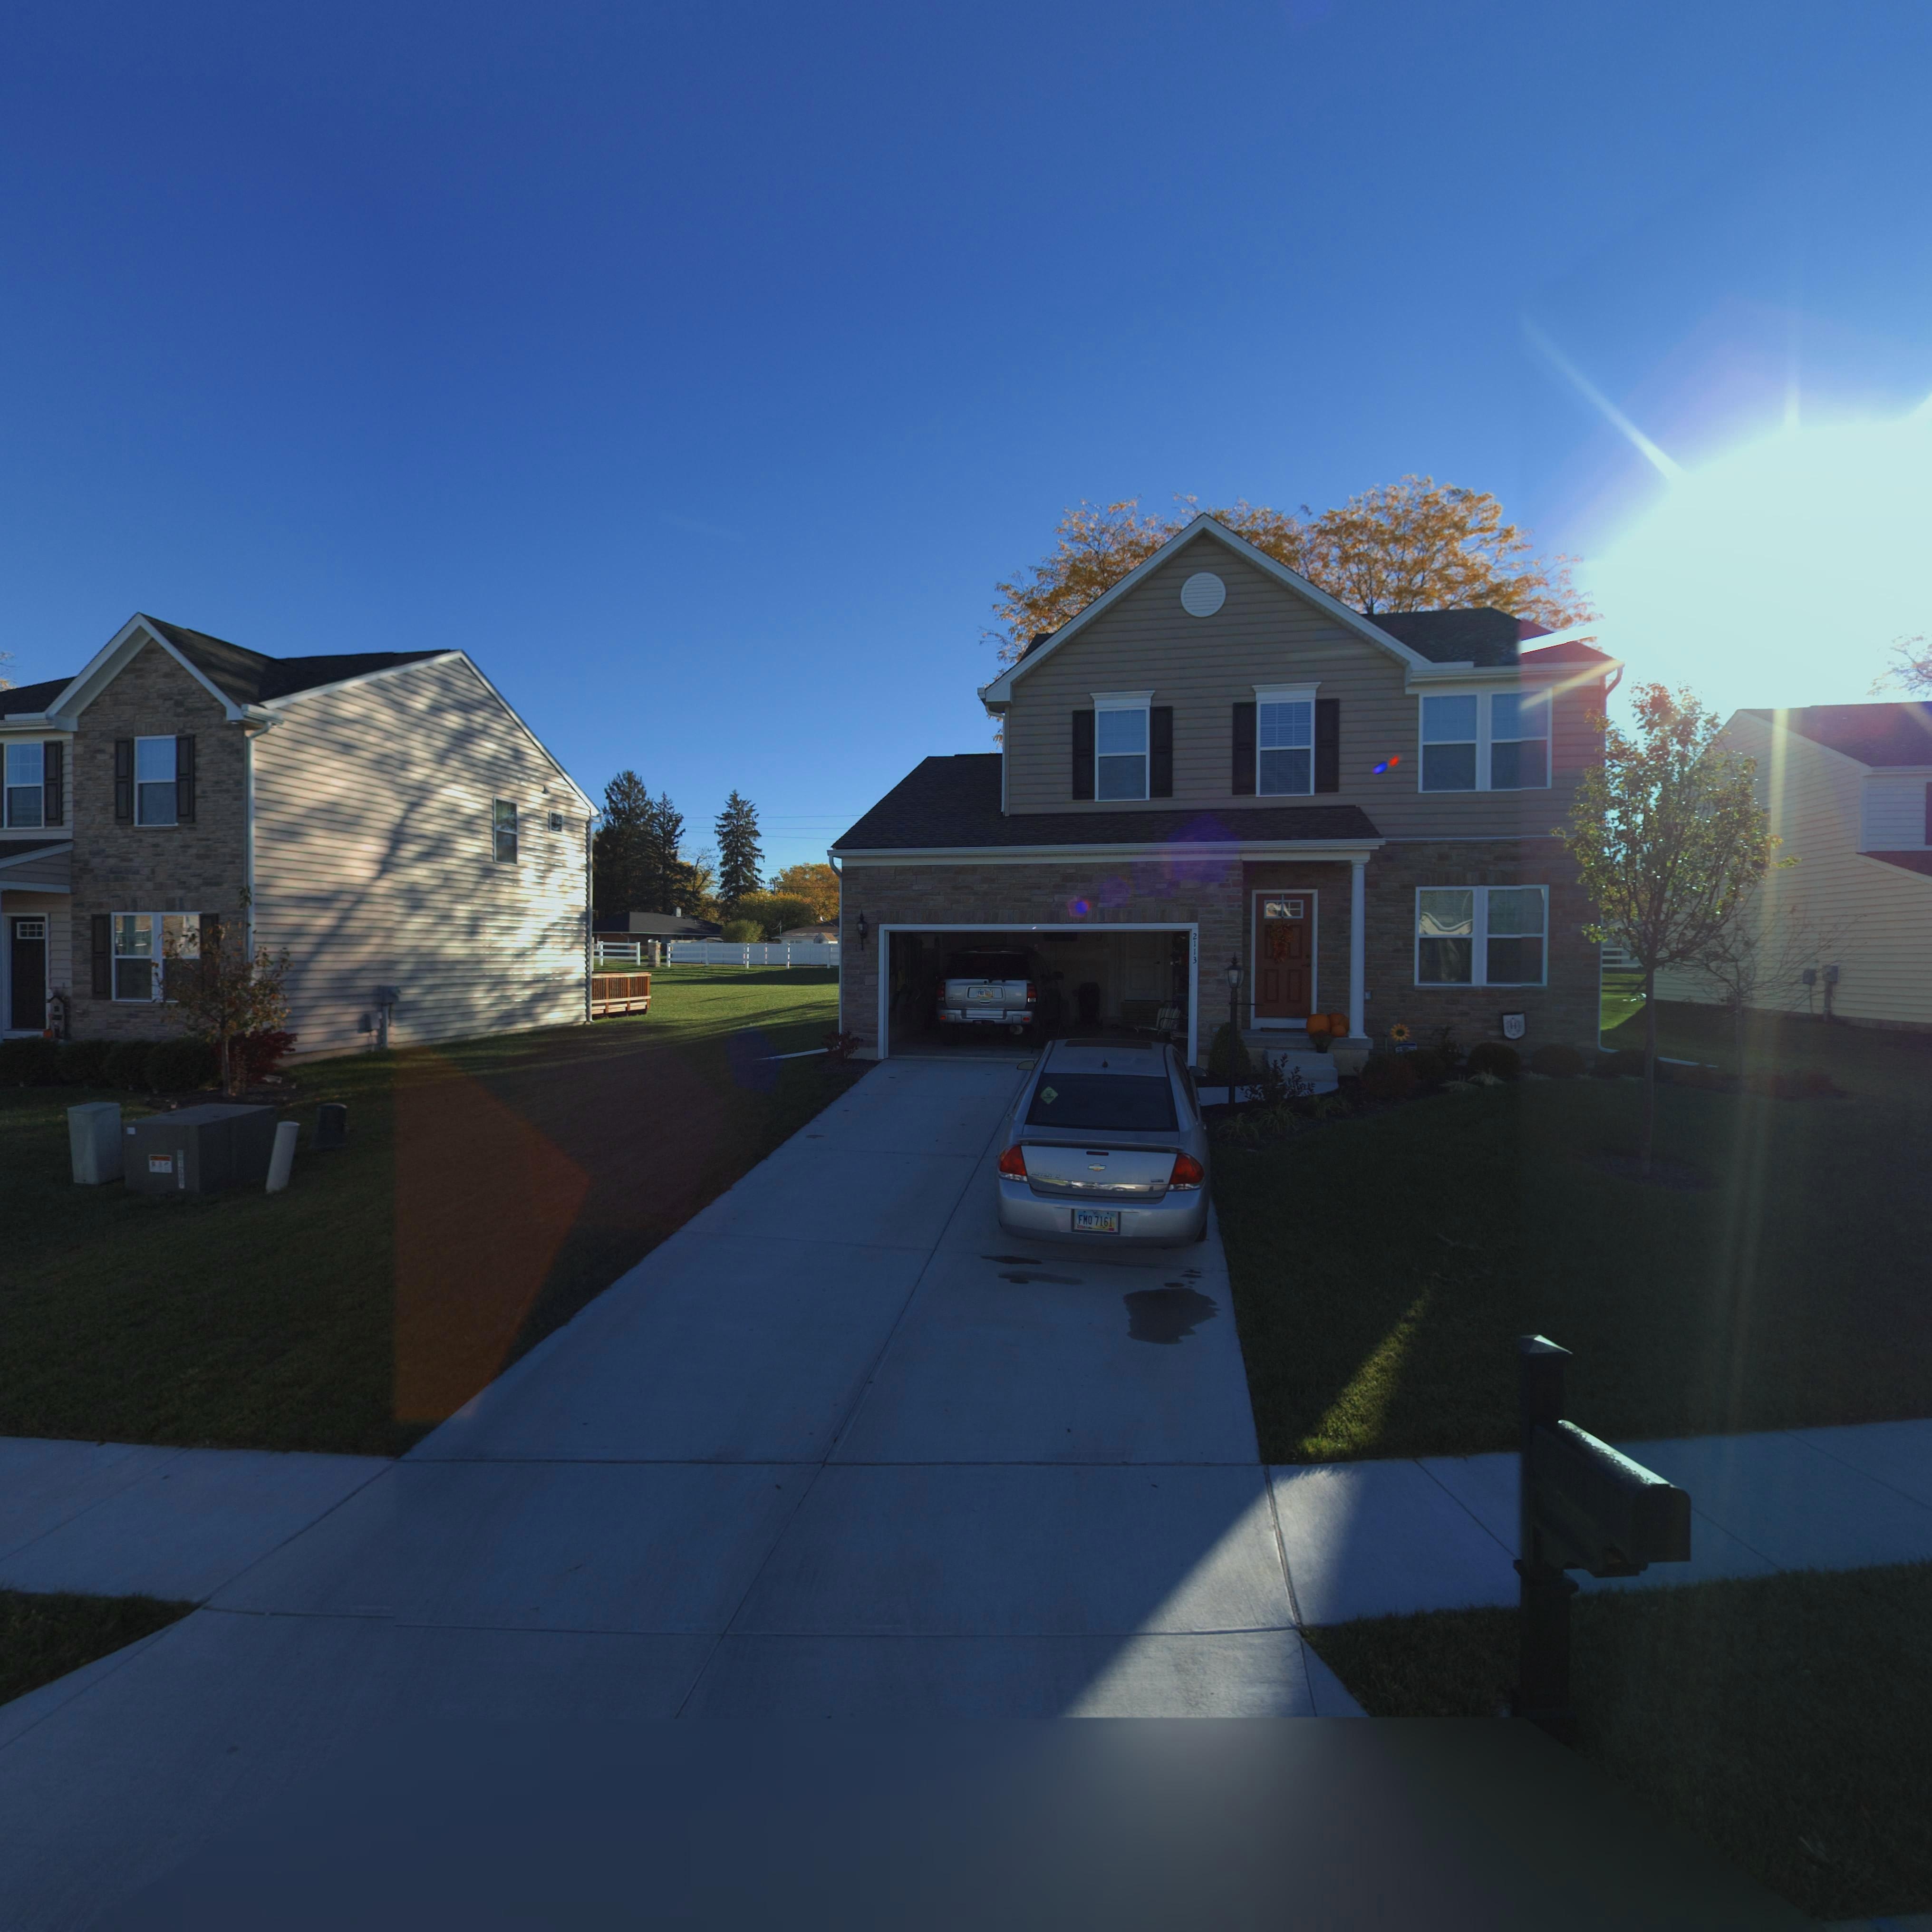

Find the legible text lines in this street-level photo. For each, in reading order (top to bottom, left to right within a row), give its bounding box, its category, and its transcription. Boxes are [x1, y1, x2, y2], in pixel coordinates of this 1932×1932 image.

[1191, 932, 1198, 965] StreetNumber: 2113